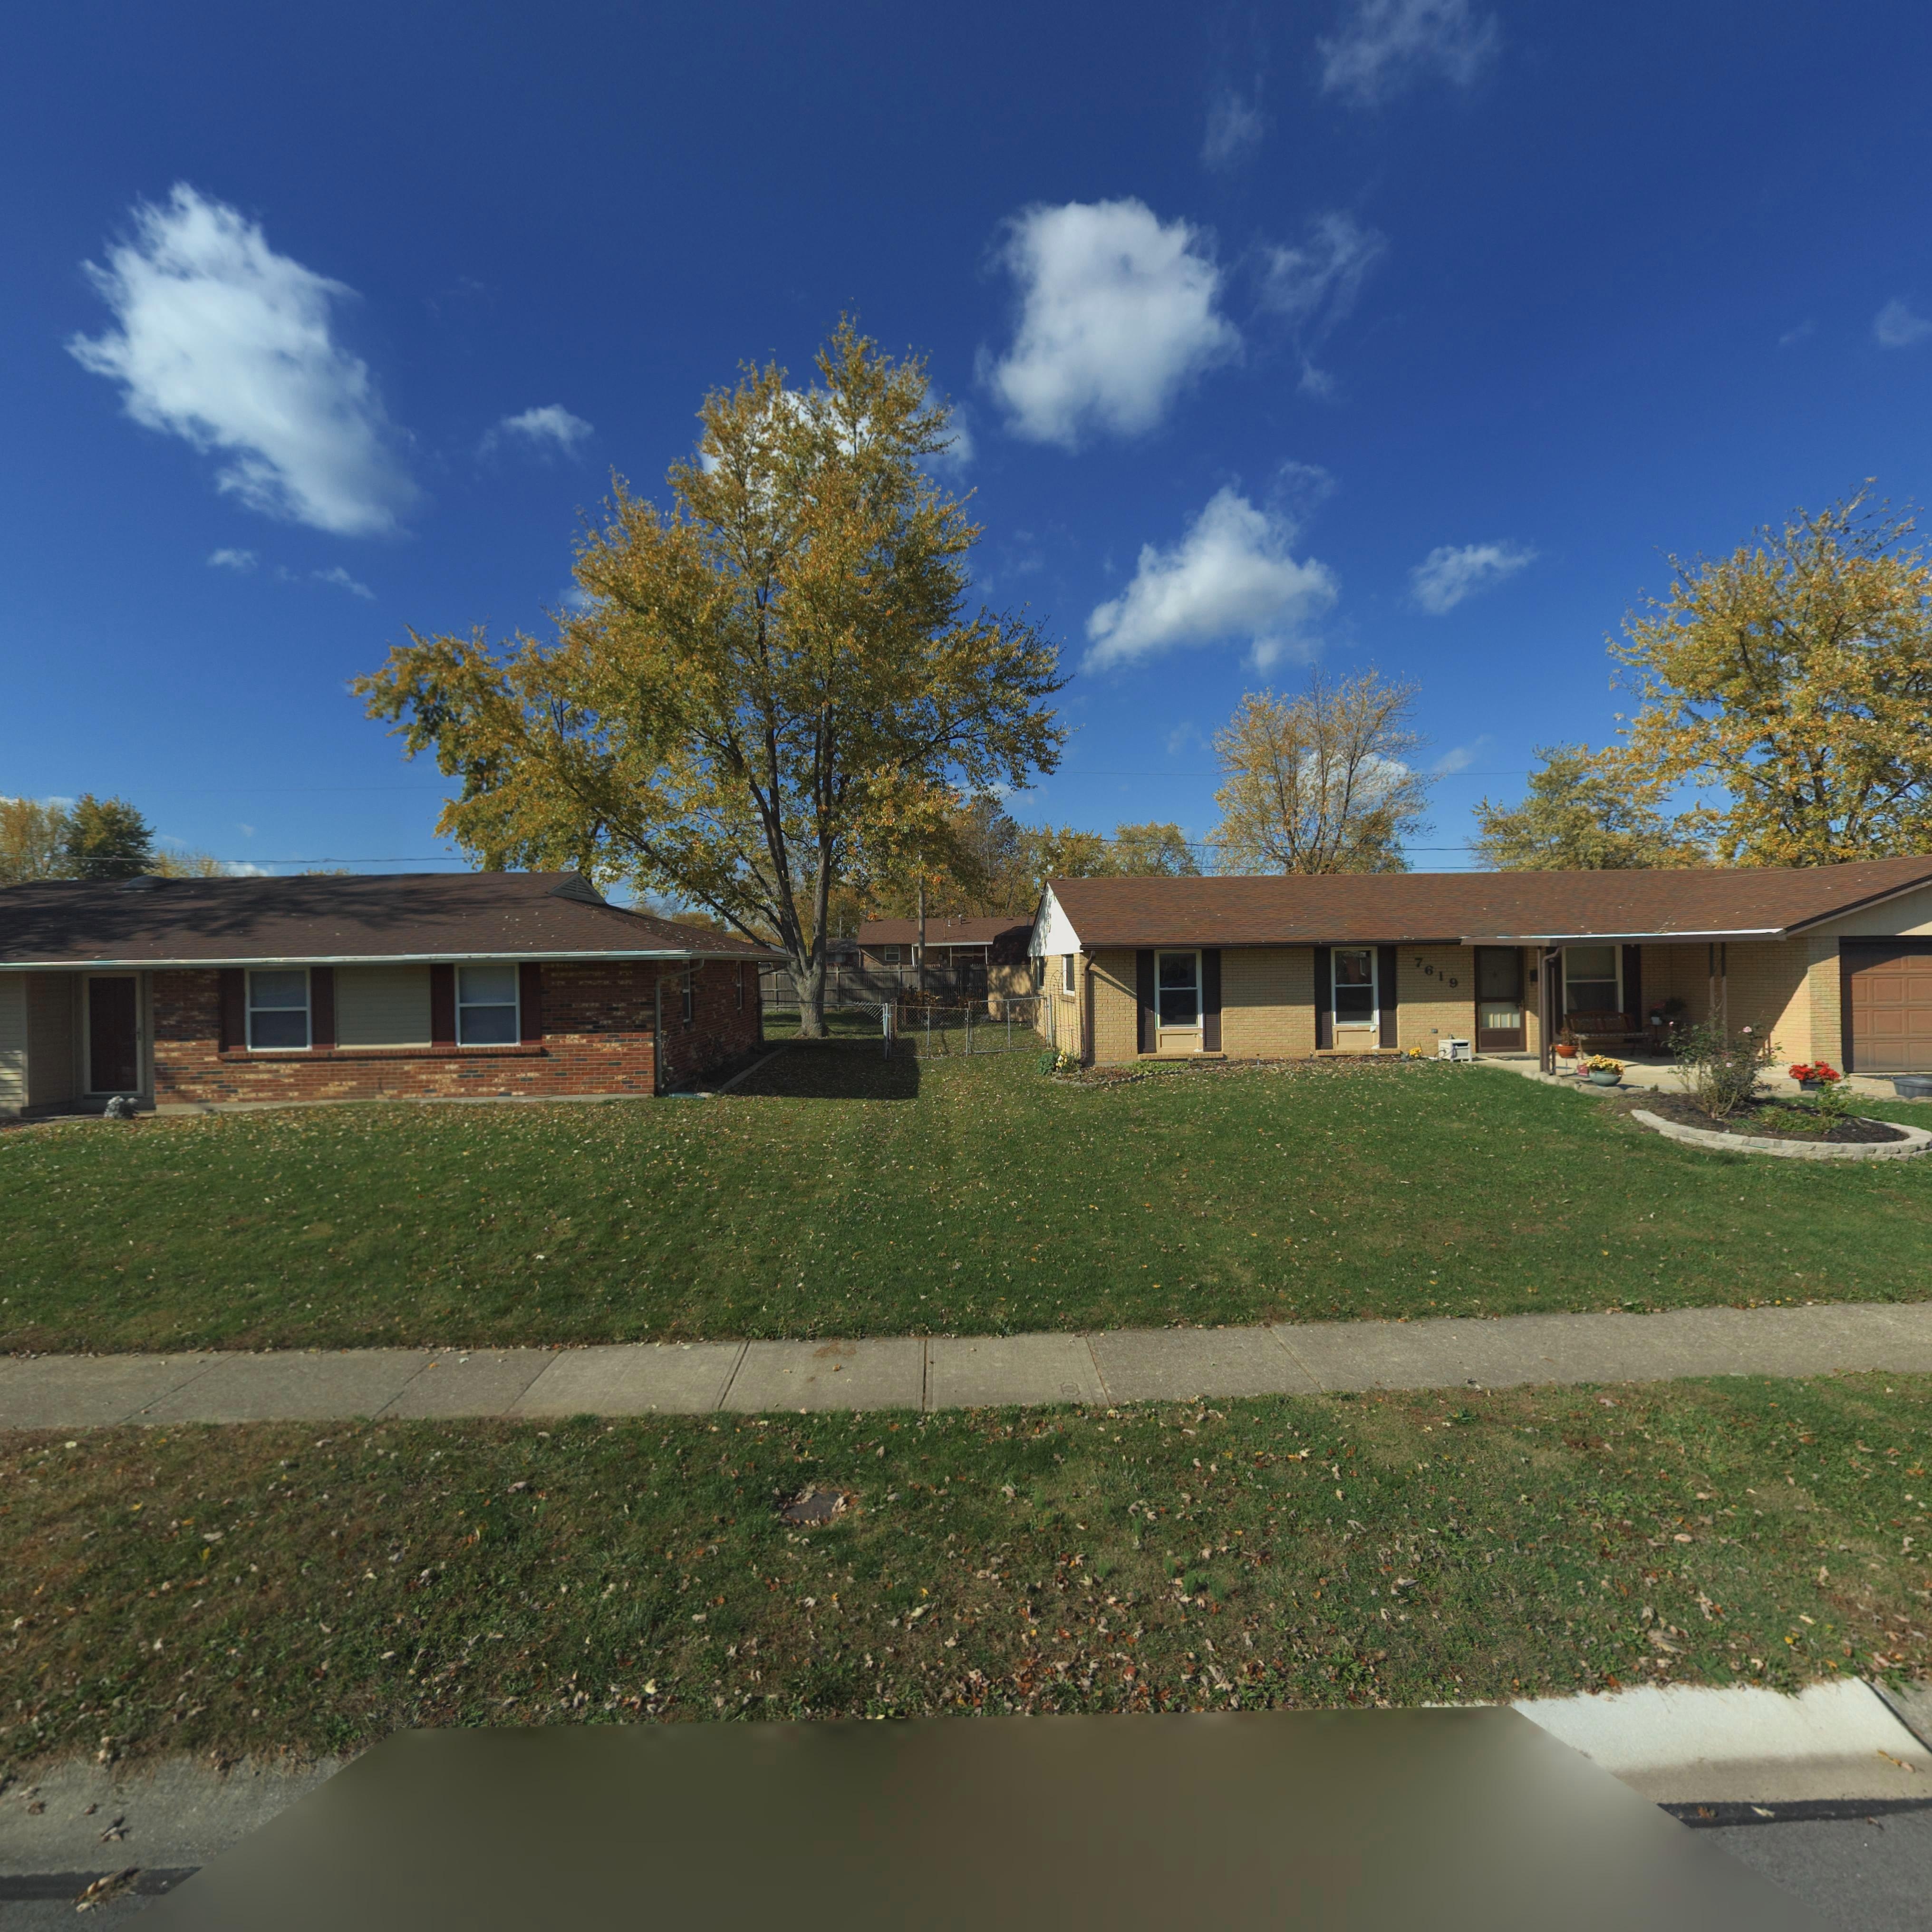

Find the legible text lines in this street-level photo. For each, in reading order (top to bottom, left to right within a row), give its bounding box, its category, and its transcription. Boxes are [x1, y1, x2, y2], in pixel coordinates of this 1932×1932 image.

[1413, 956, 1459, 989] StreetNumber: 7619